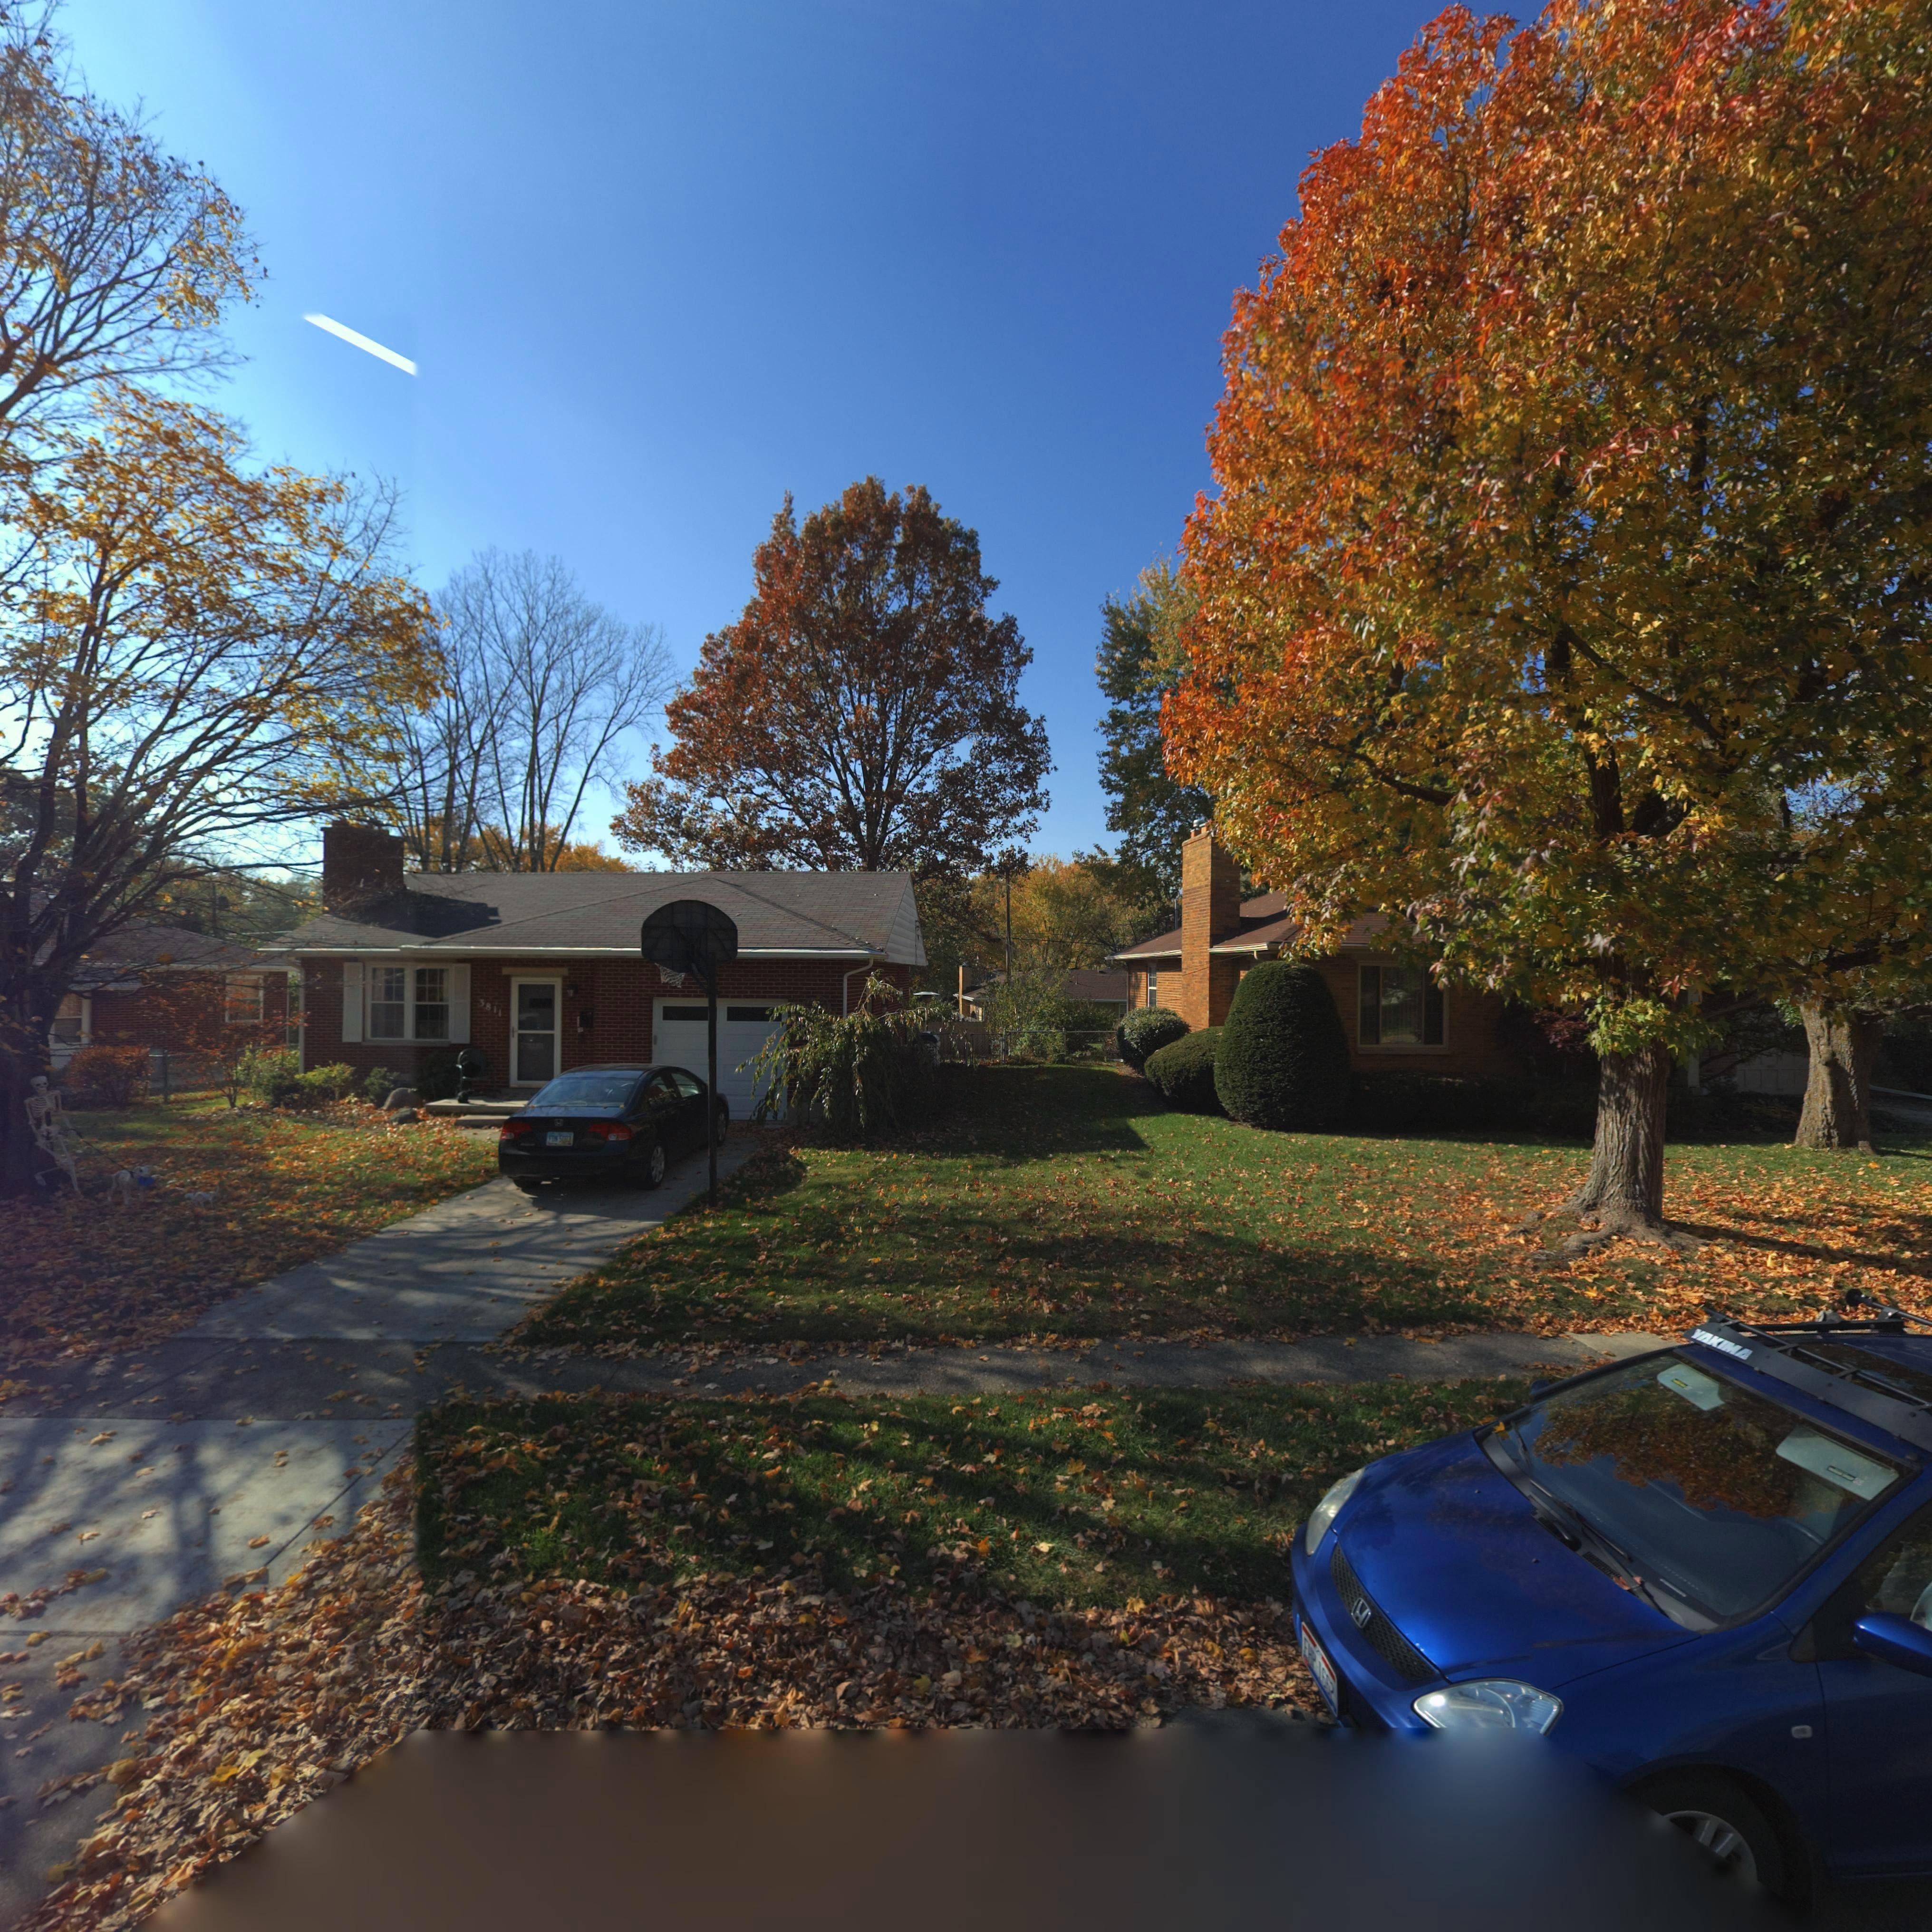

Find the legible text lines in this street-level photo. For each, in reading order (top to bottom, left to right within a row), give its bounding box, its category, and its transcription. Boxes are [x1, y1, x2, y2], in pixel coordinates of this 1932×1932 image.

[477, 997, 502, 1018] StreetNumber: 3811